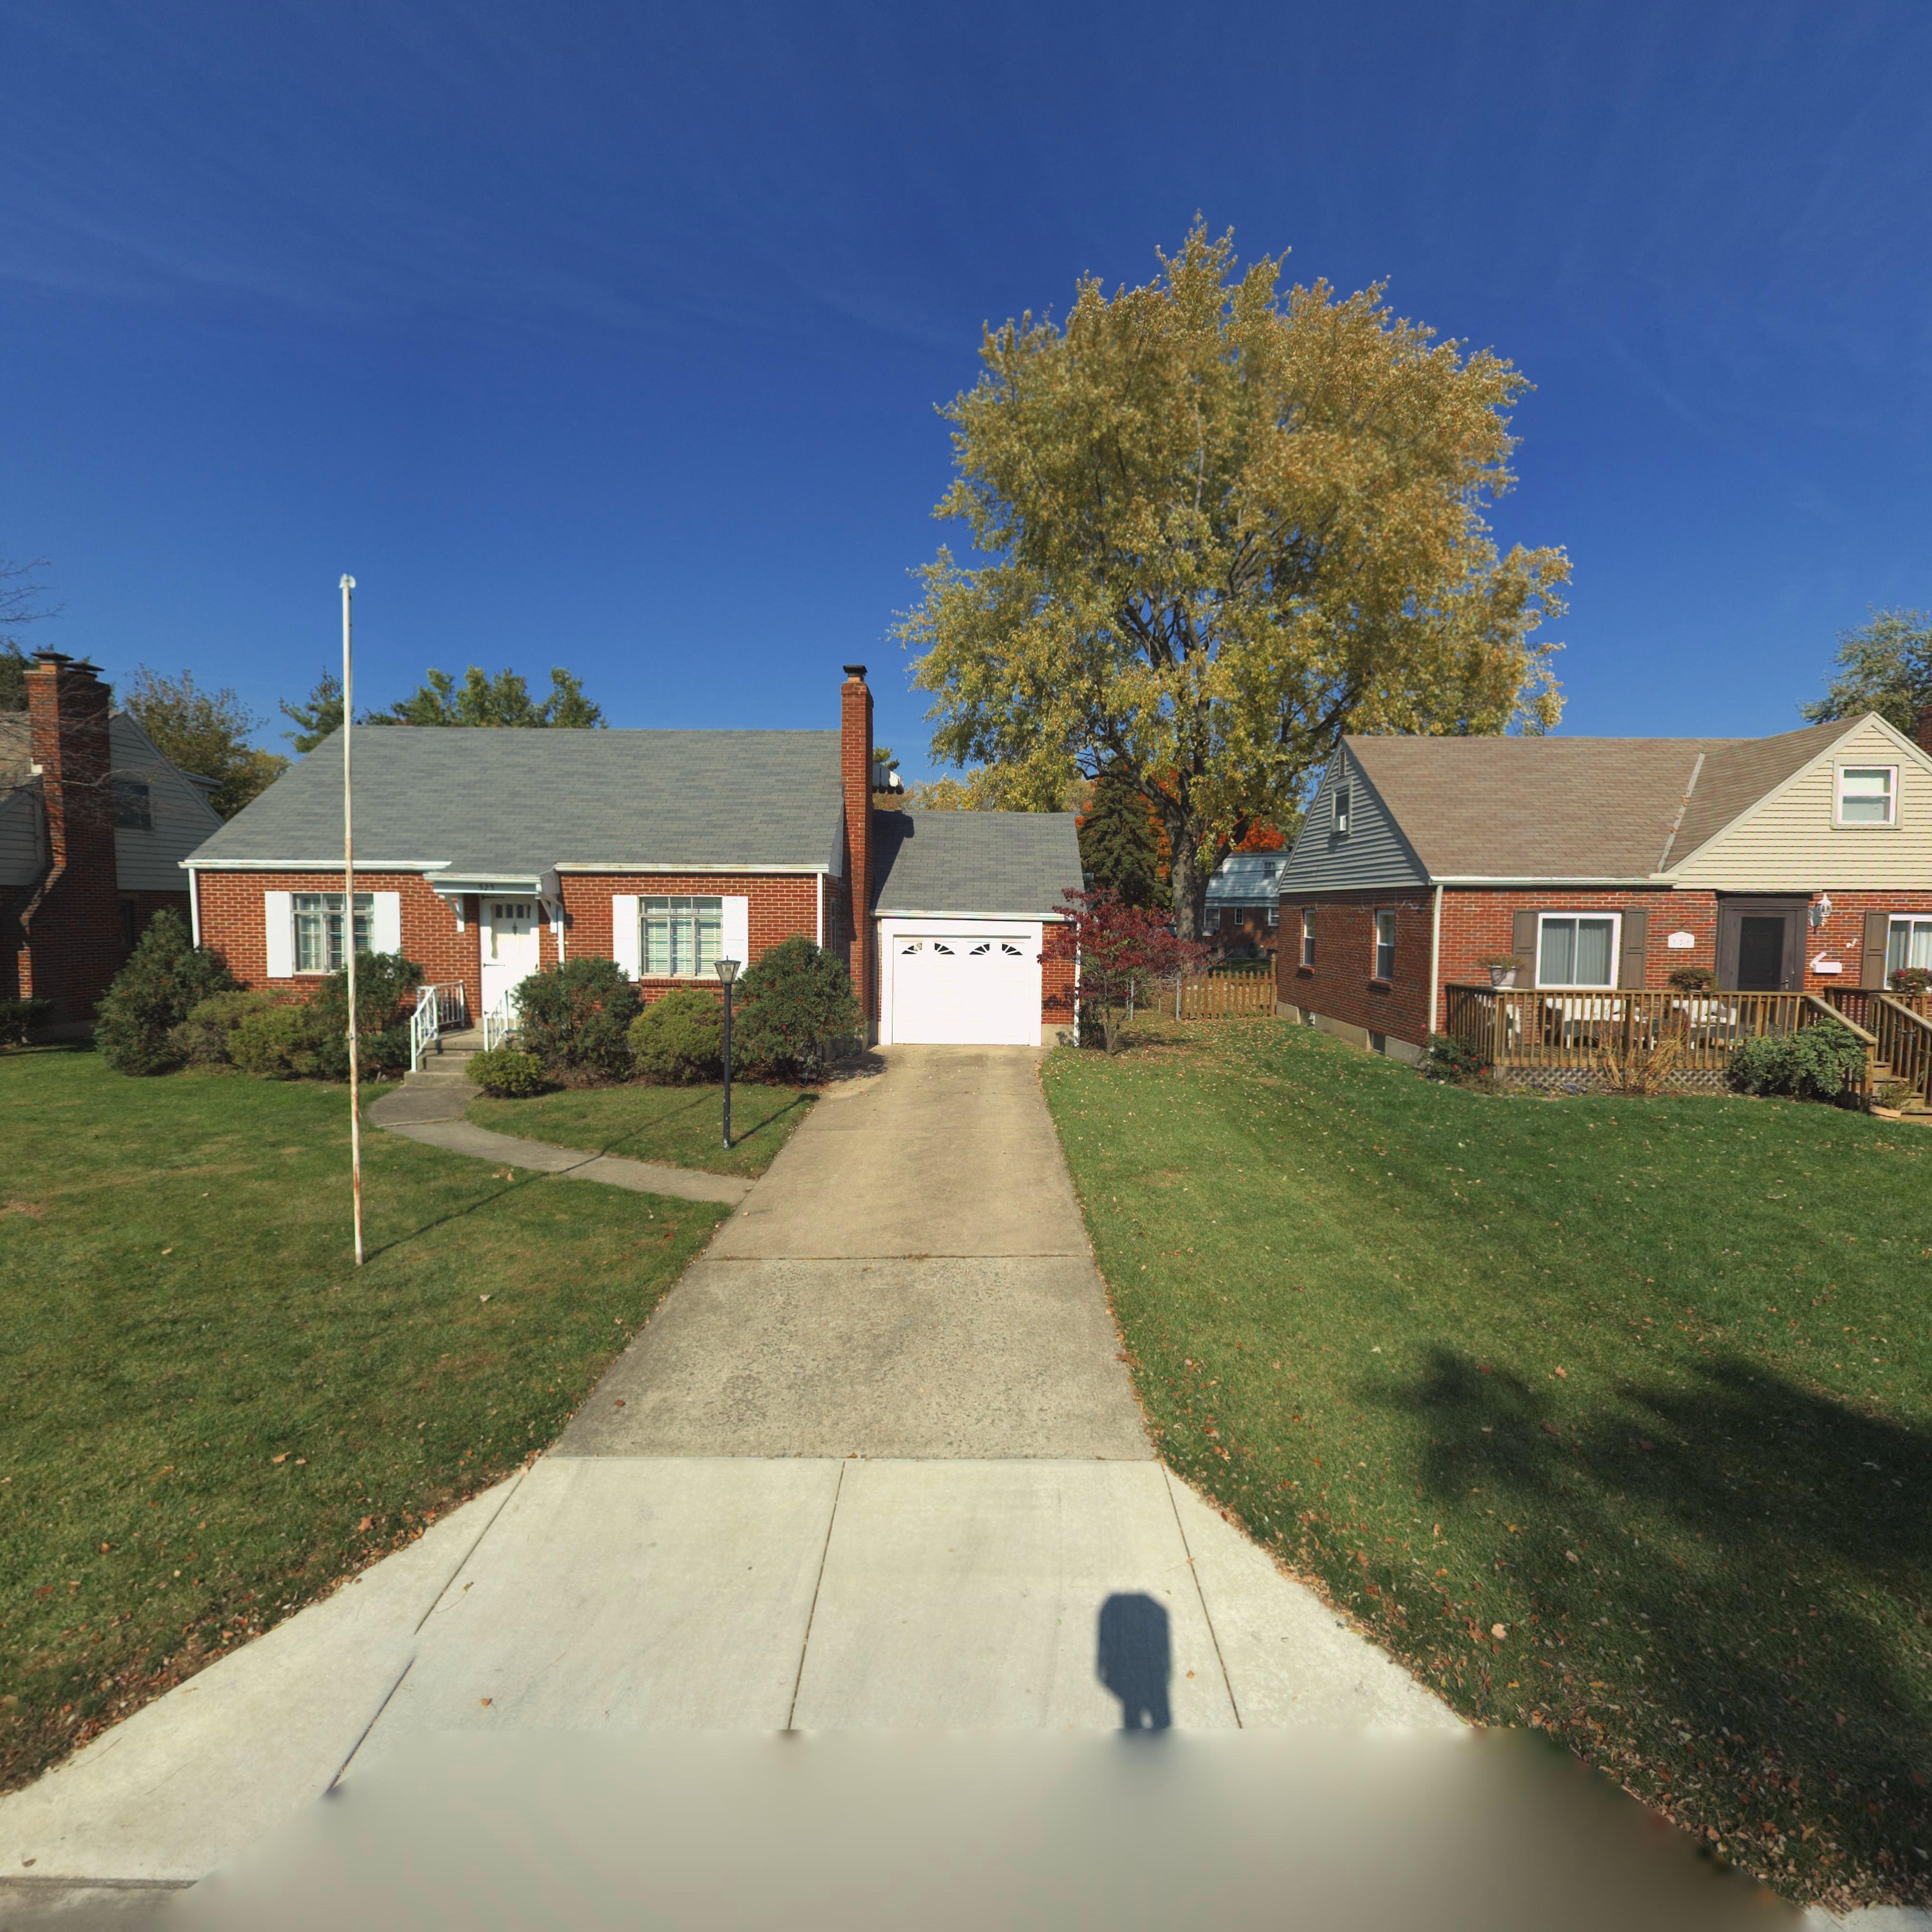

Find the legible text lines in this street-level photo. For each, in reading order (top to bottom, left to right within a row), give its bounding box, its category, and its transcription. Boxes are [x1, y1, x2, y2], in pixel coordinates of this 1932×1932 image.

[478, 883, 495, 891] StreetNumber: 525
[1672, 939, 1690, 945] StreetNumber: 5**